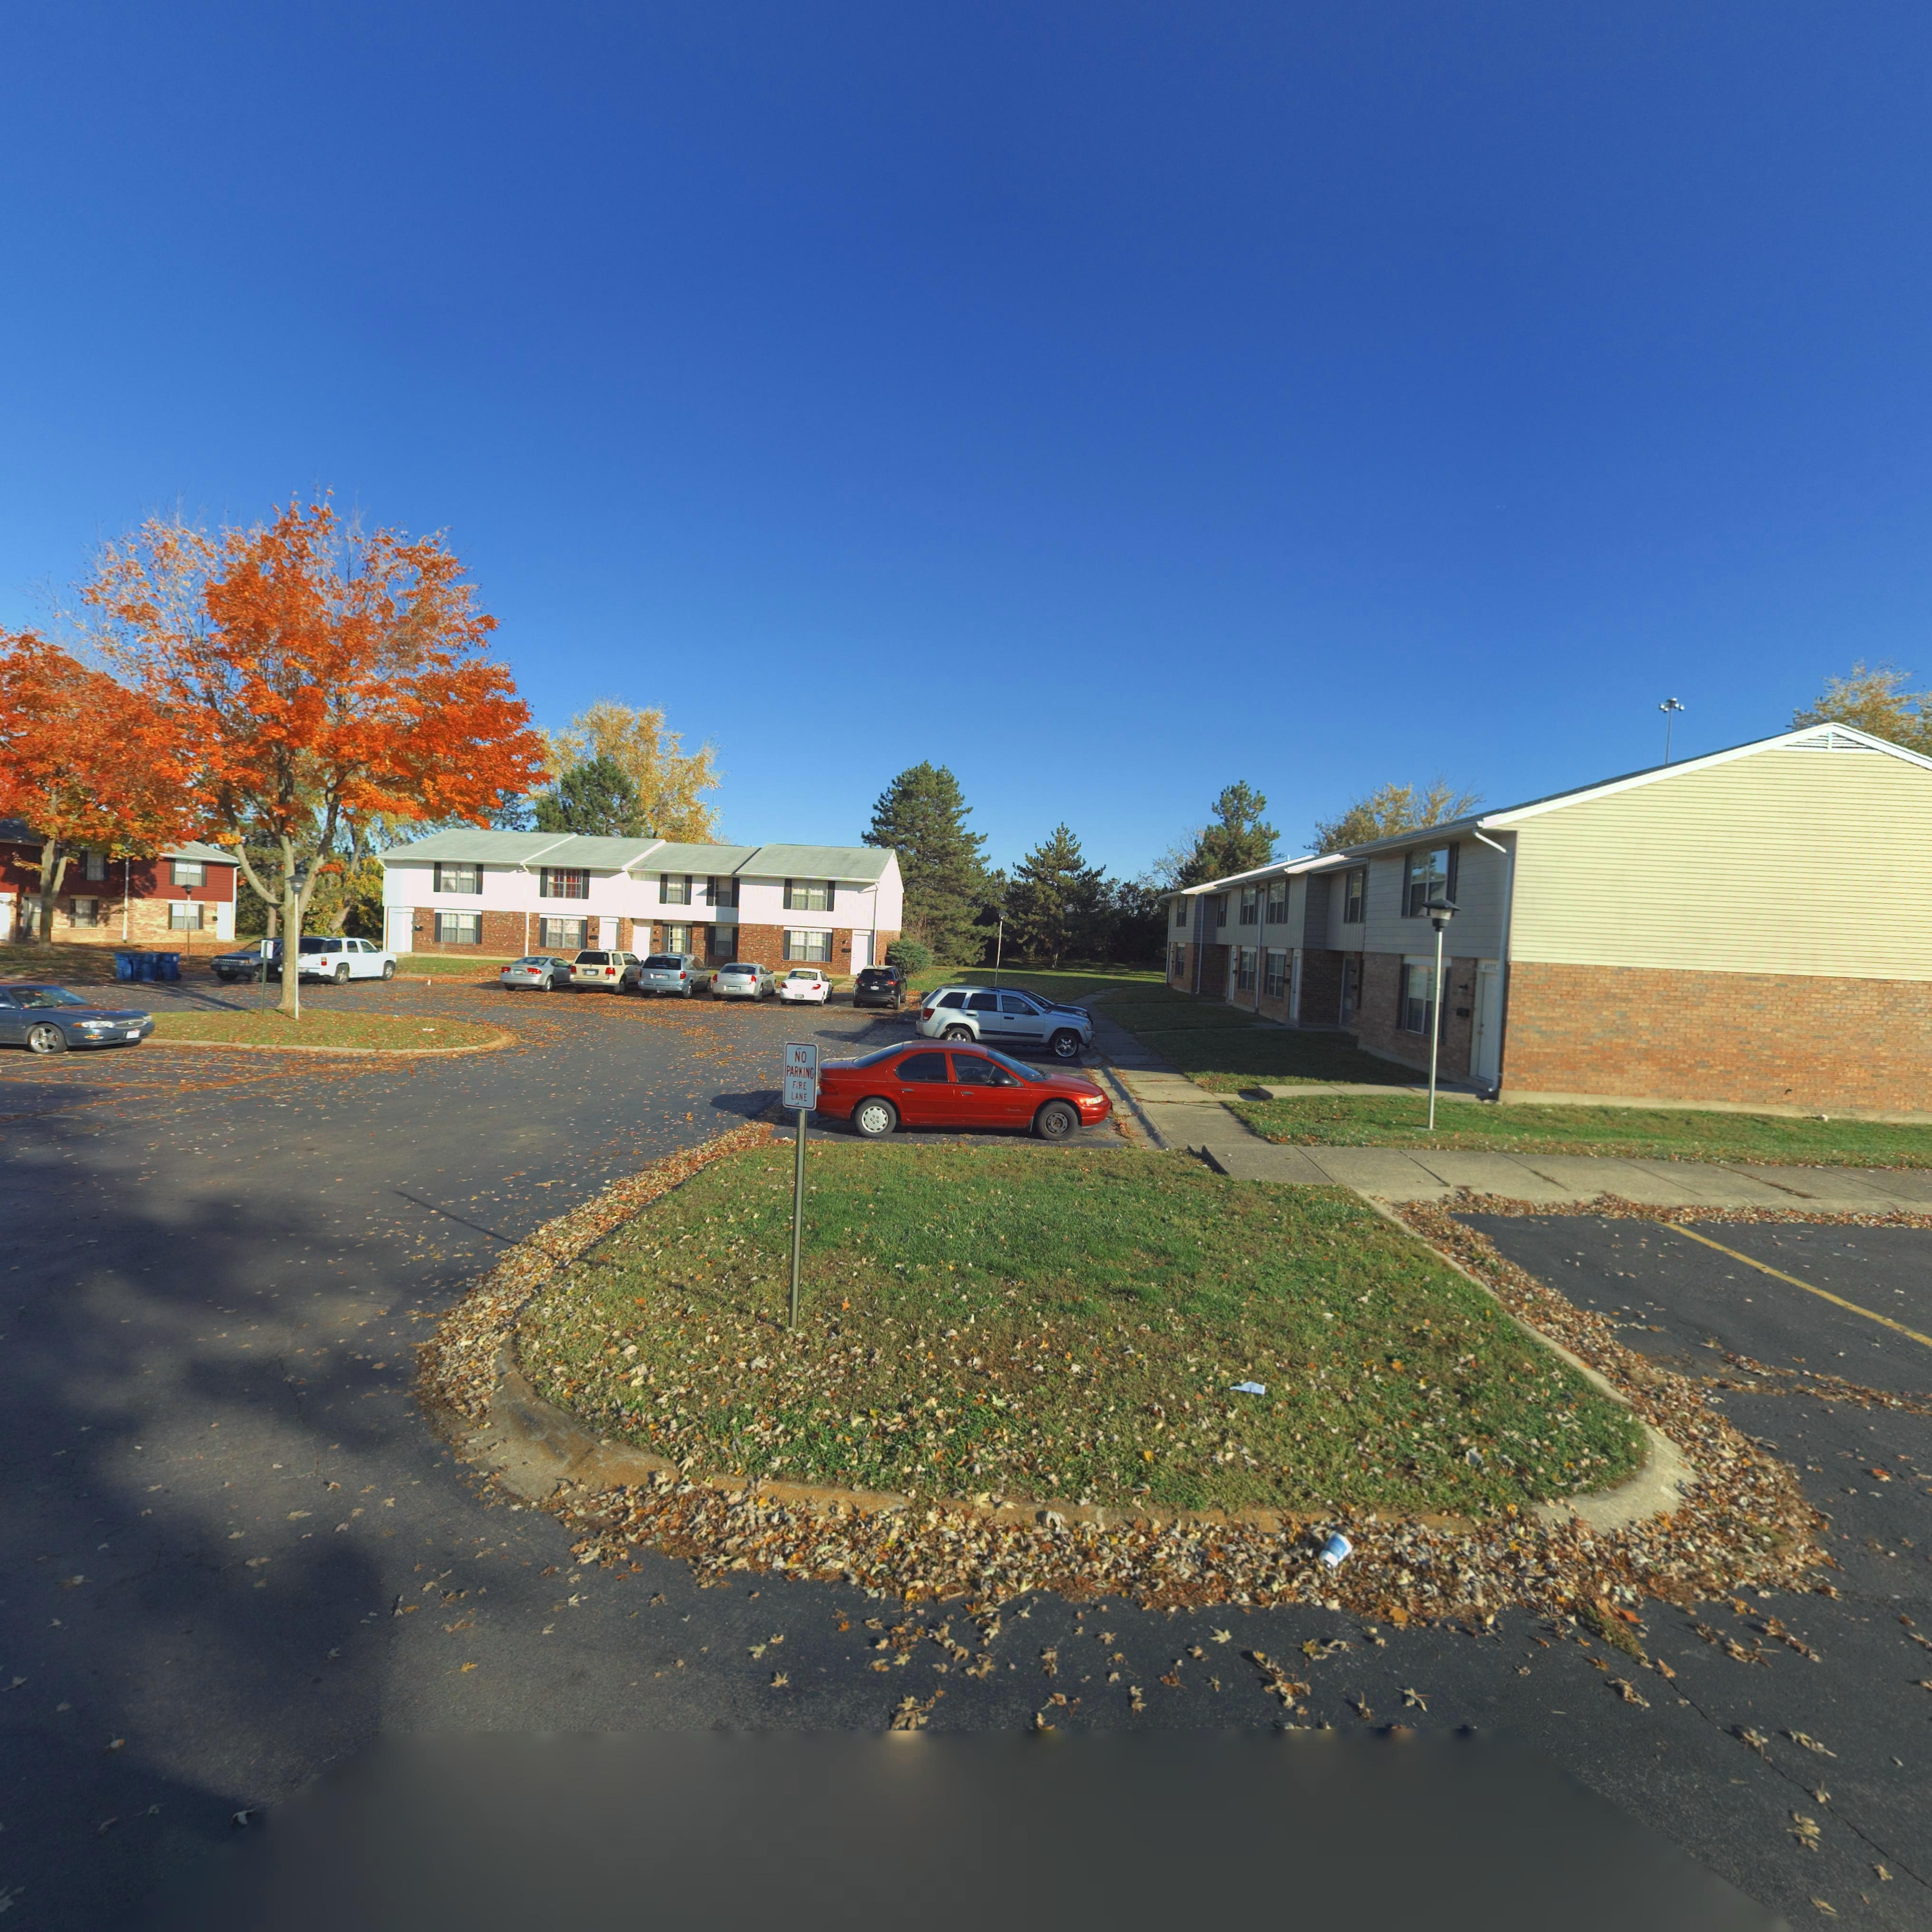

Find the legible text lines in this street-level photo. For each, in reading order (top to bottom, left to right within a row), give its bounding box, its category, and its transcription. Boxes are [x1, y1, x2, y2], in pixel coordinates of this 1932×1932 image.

[1483, 963, 1497, 970] StreetNumber: *277